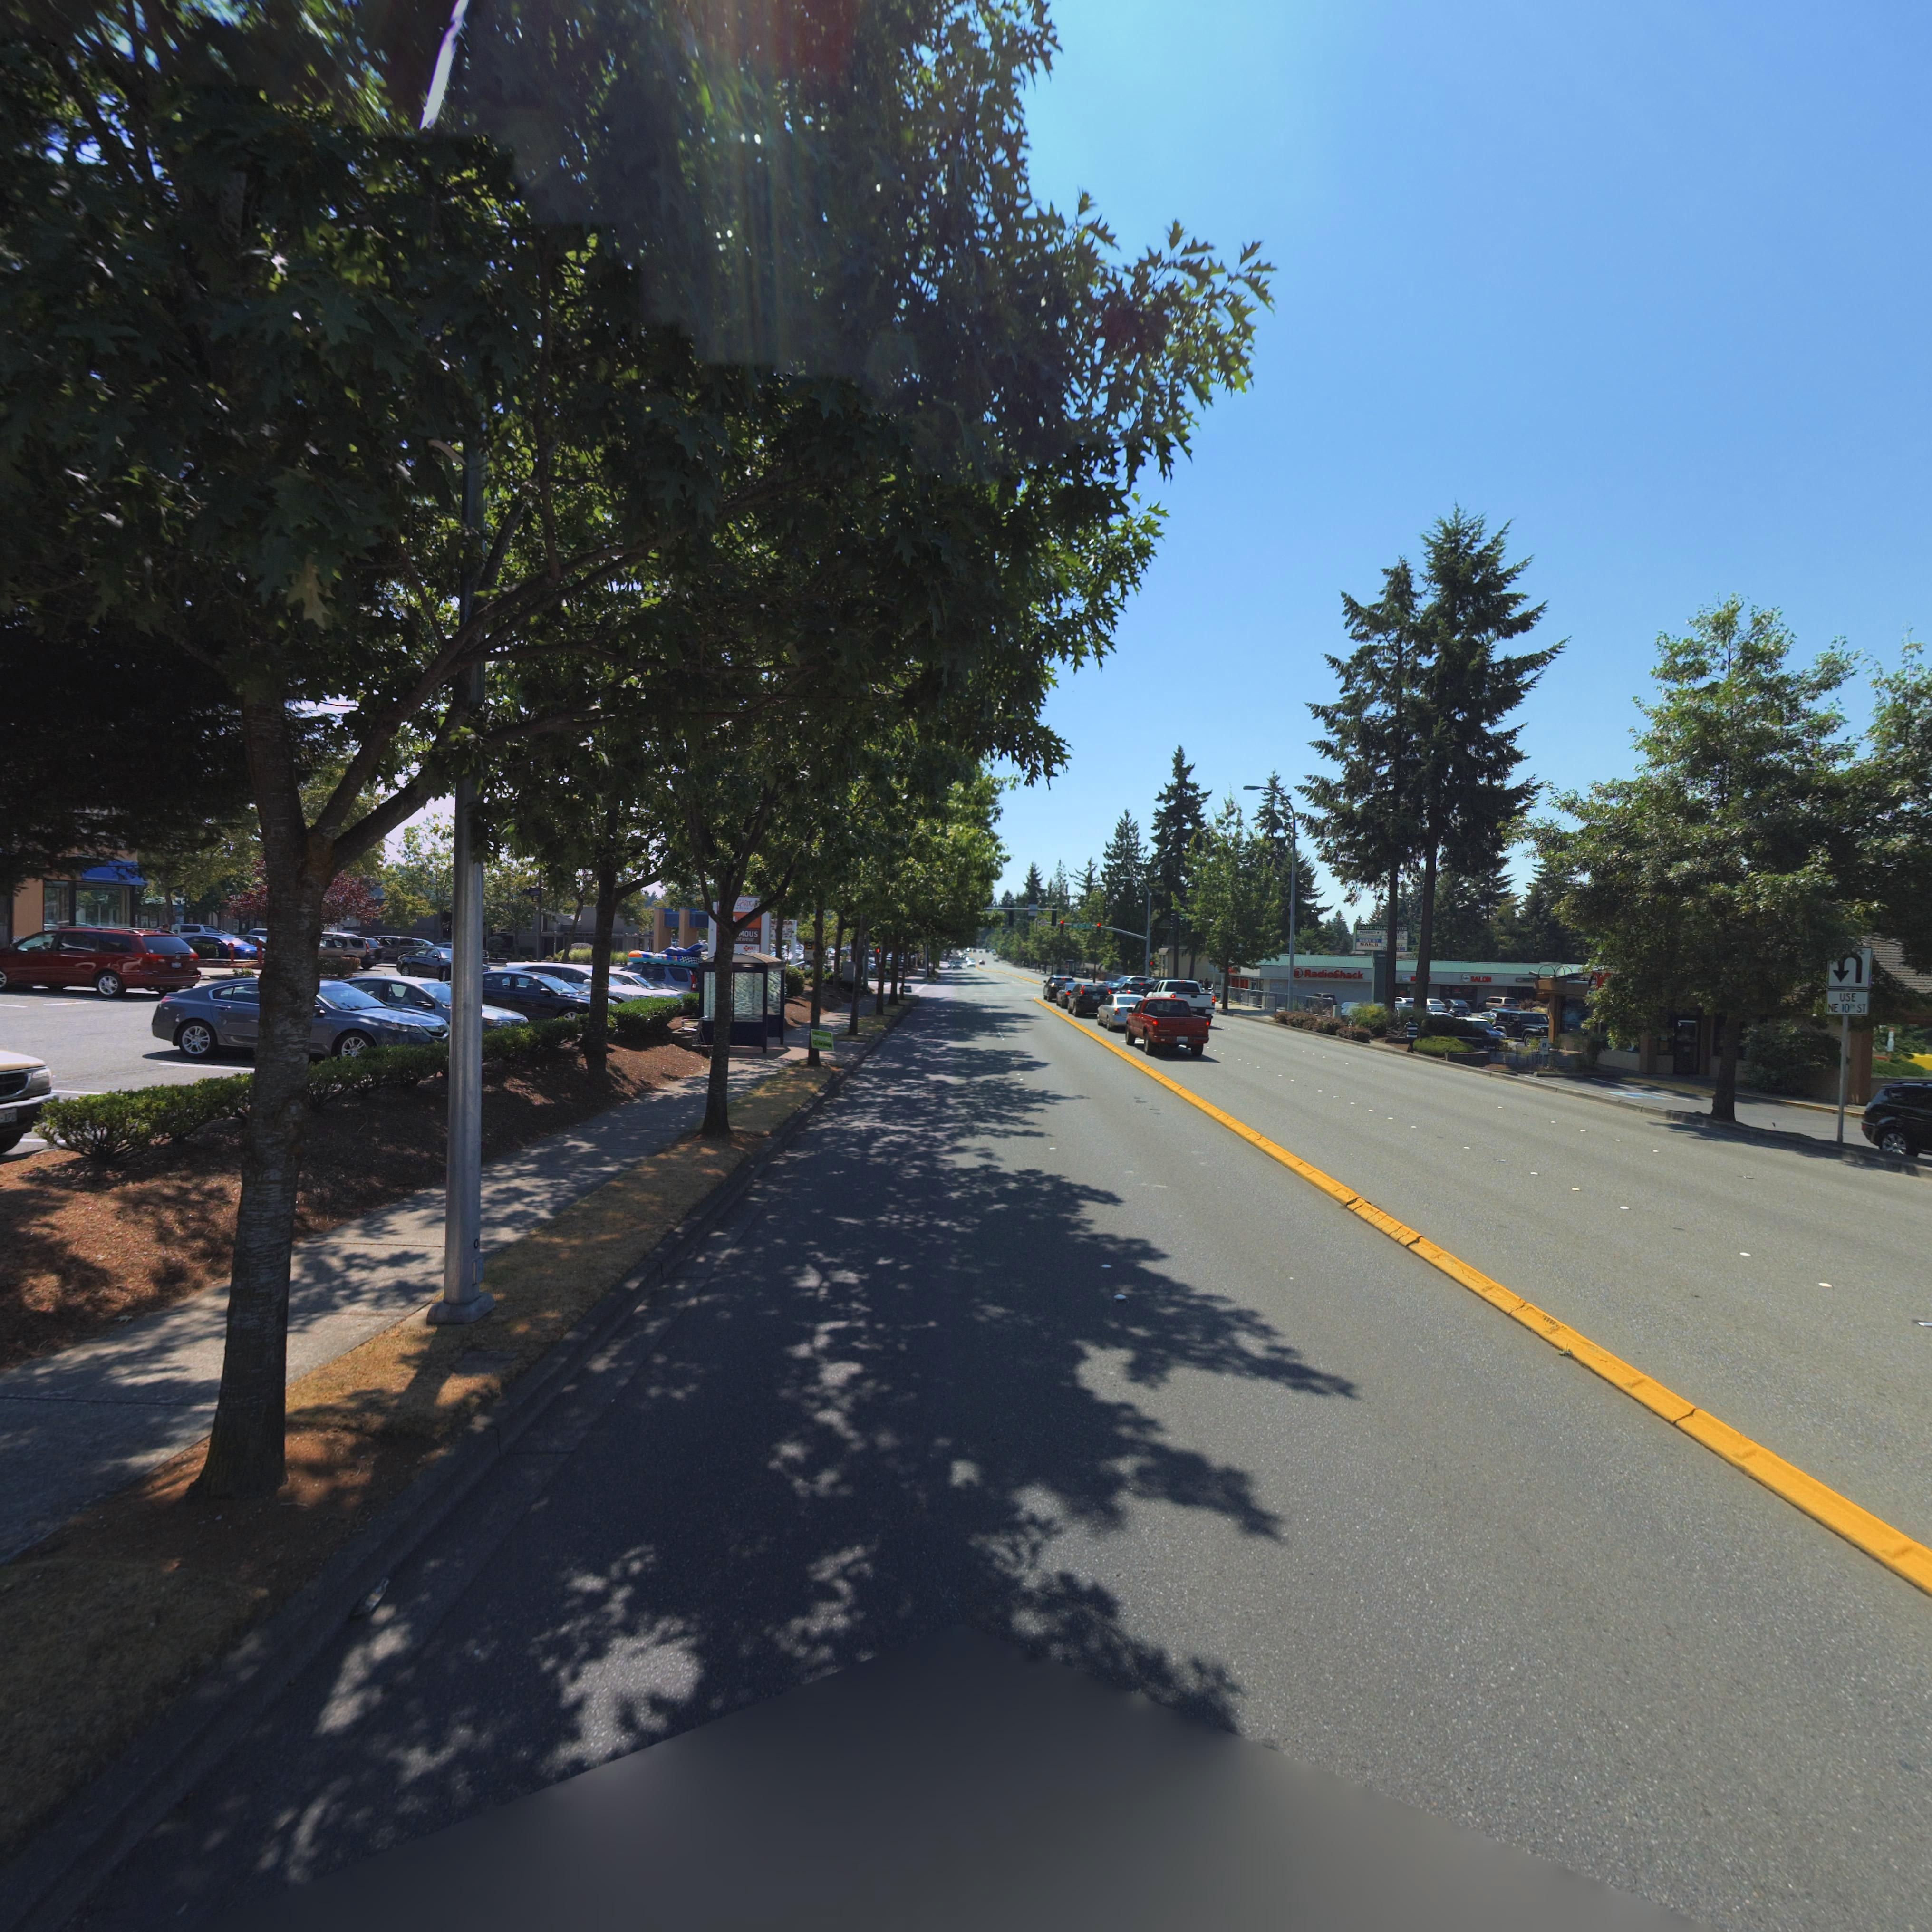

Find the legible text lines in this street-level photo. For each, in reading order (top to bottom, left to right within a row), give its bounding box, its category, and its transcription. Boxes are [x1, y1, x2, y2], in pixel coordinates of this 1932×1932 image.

[738, 930, 758, 937] BusinessName: *OUS
[736, 937, 755, 941] BusinessName: *twear
[1360, 942, 1378, 946] BusinessName: NAILS
[1304, 968, 1364, 979] BusinessName: RadioShack
[1470, 976, 1492, 982] BusinessName: SALON
[1827, 1002, 1866, 1013] StreetName: NE 10** ST